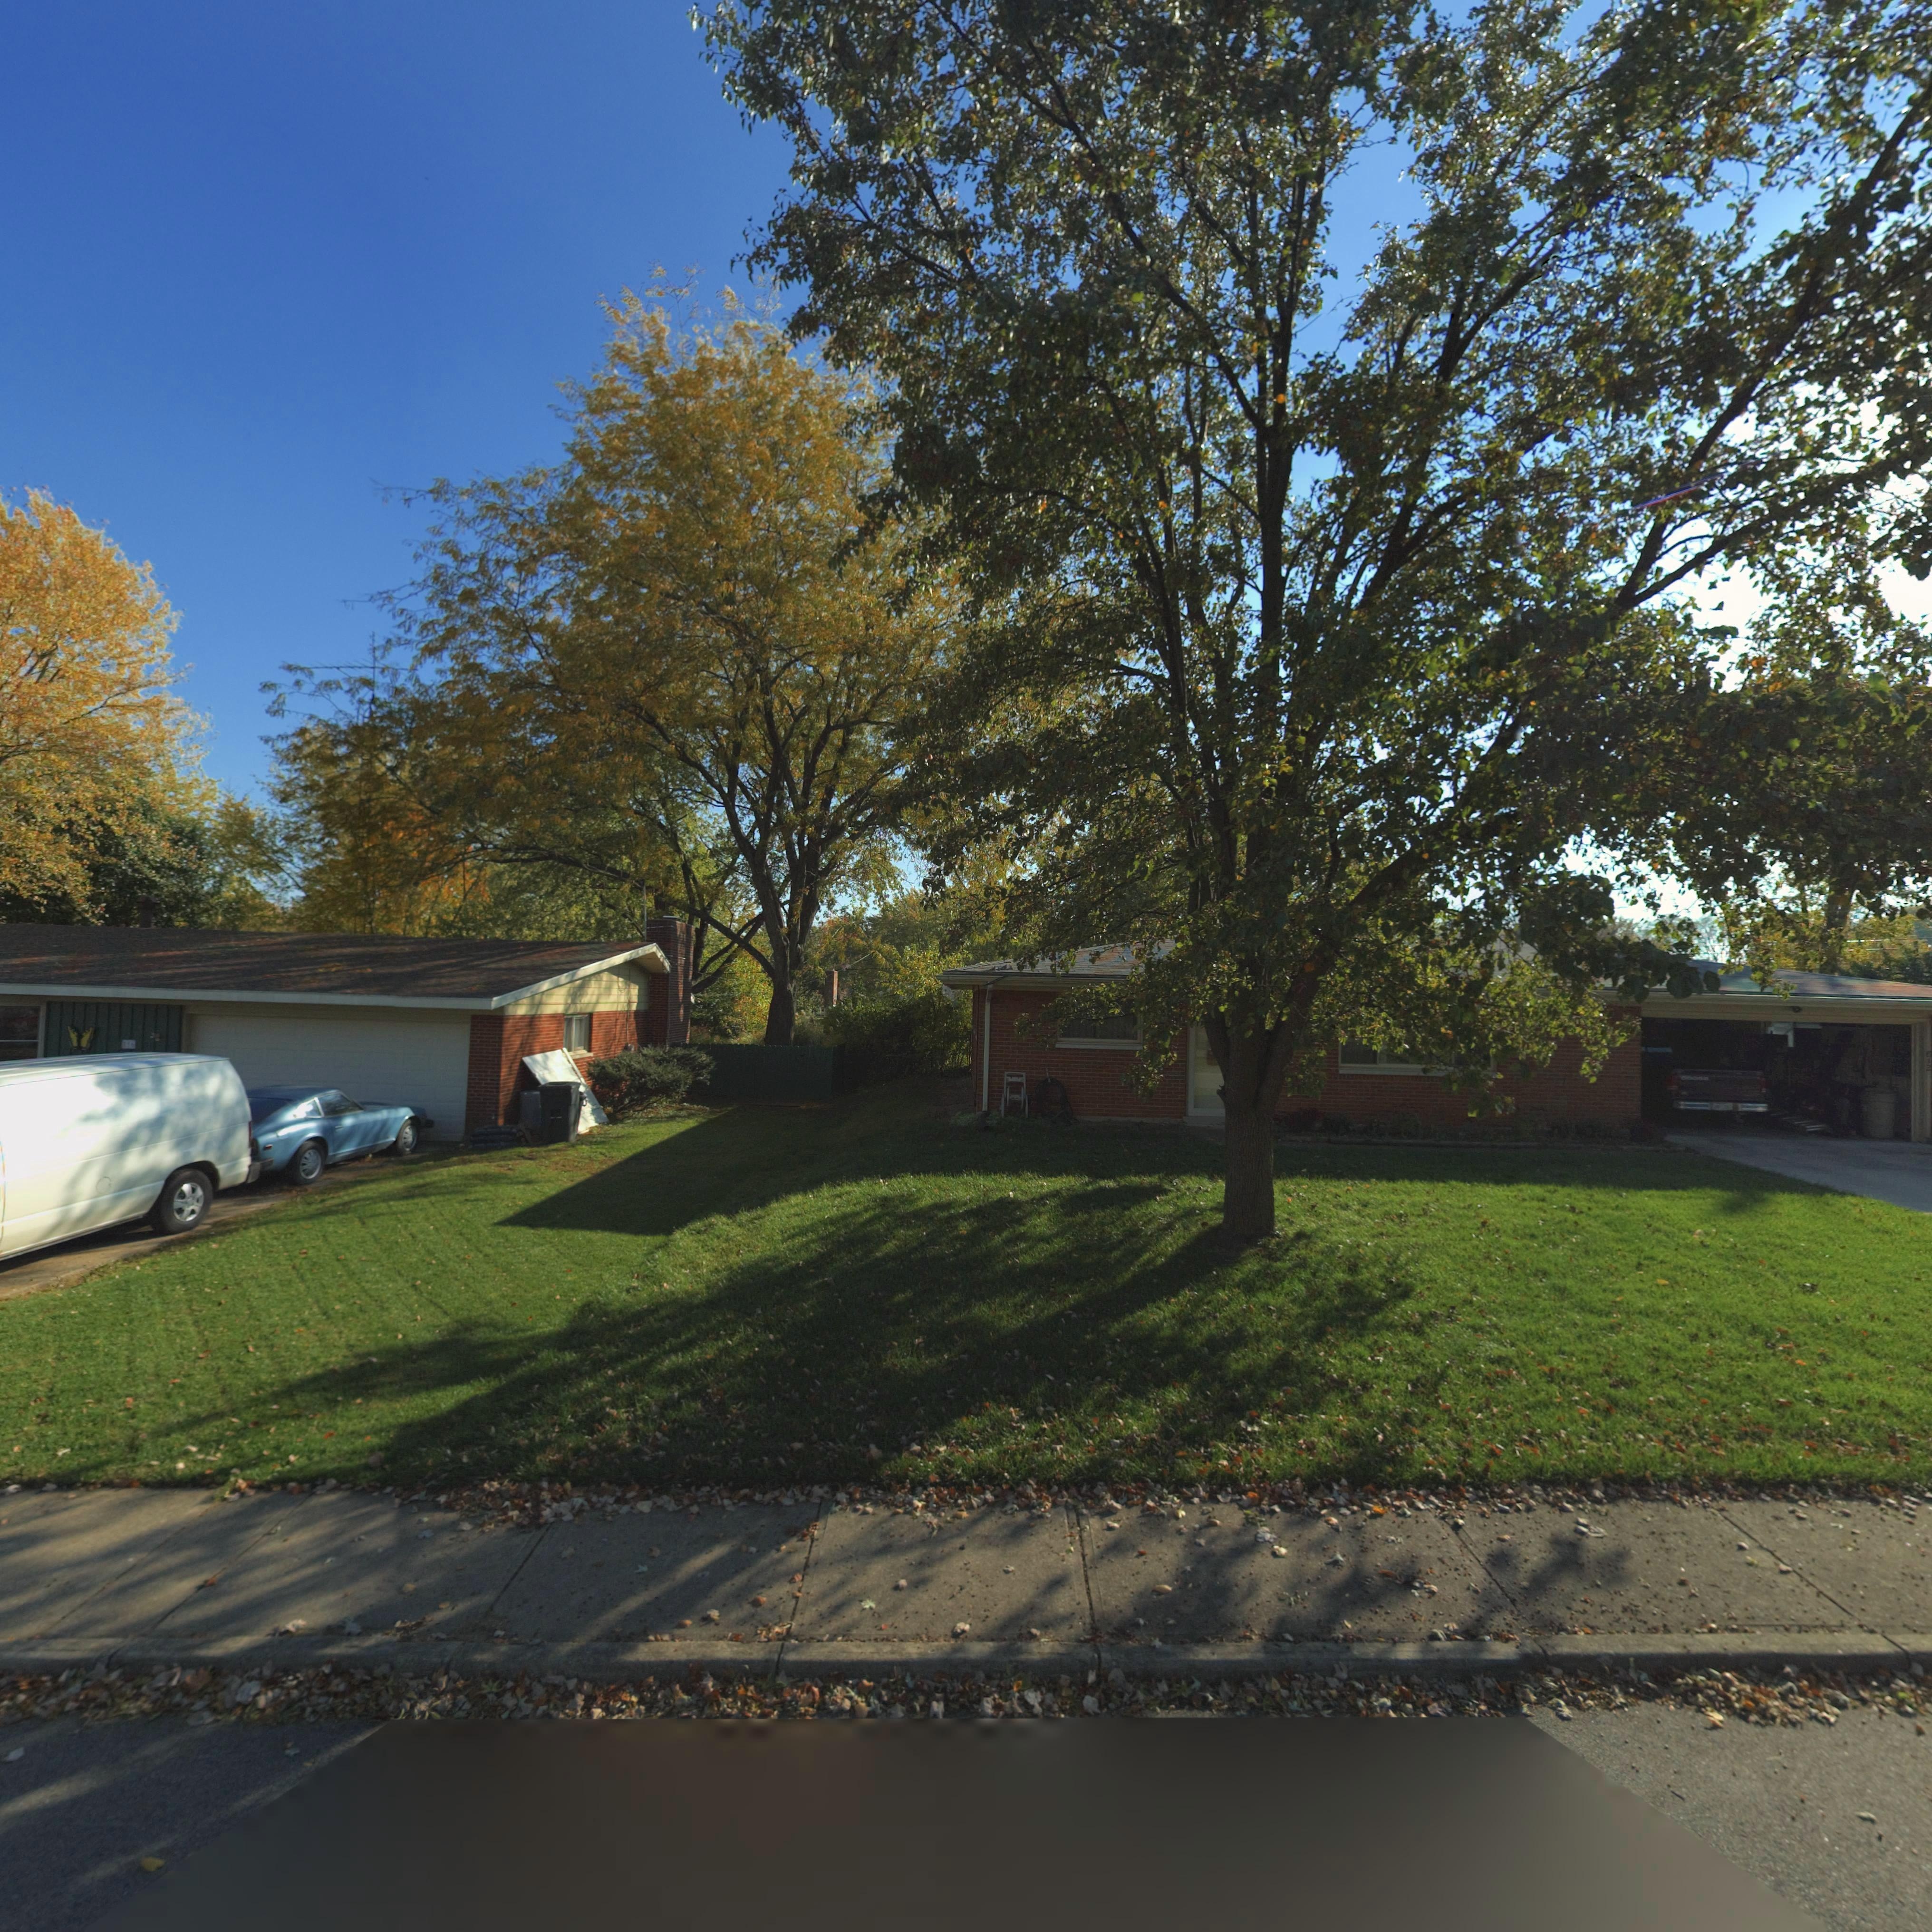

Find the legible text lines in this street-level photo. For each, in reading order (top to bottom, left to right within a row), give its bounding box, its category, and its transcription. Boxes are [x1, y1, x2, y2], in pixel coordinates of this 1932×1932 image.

[121, 1041, 135, 1048] StreetNumber: 816